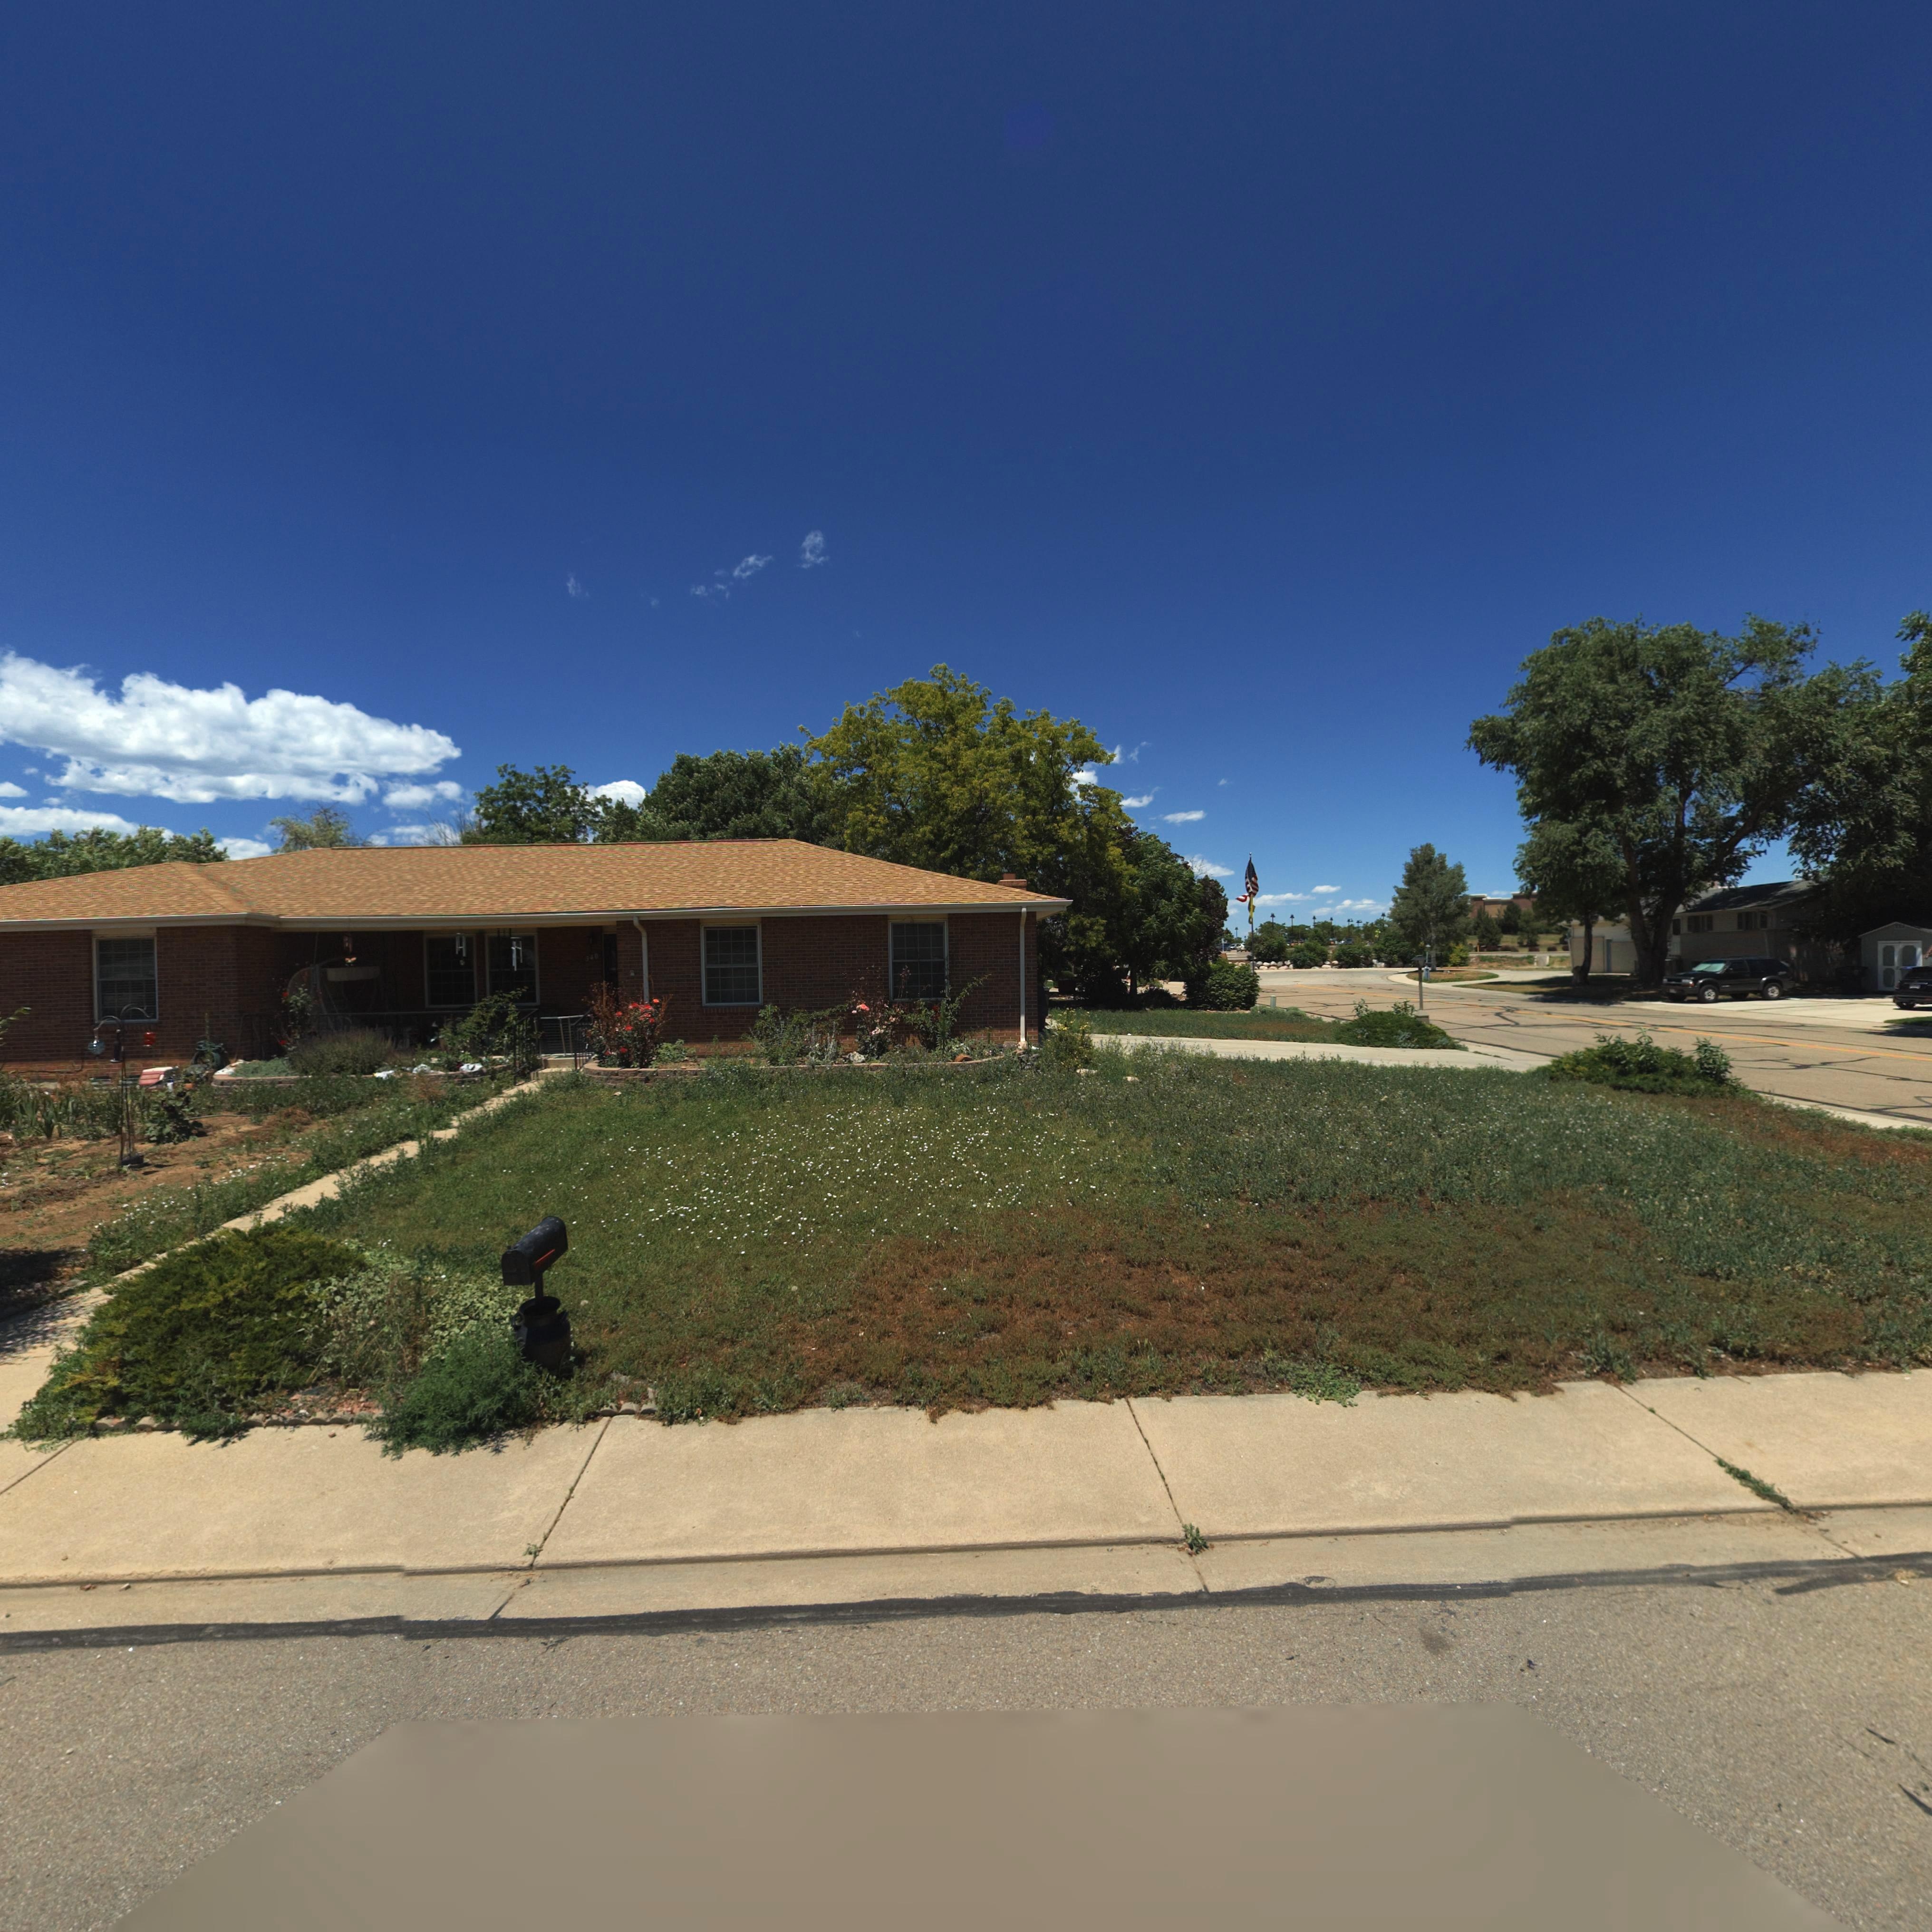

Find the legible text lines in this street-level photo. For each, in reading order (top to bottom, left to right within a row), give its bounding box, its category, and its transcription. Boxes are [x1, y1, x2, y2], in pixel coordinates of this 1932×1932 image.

[585, 952, 599, 962] StreetNumber: 340